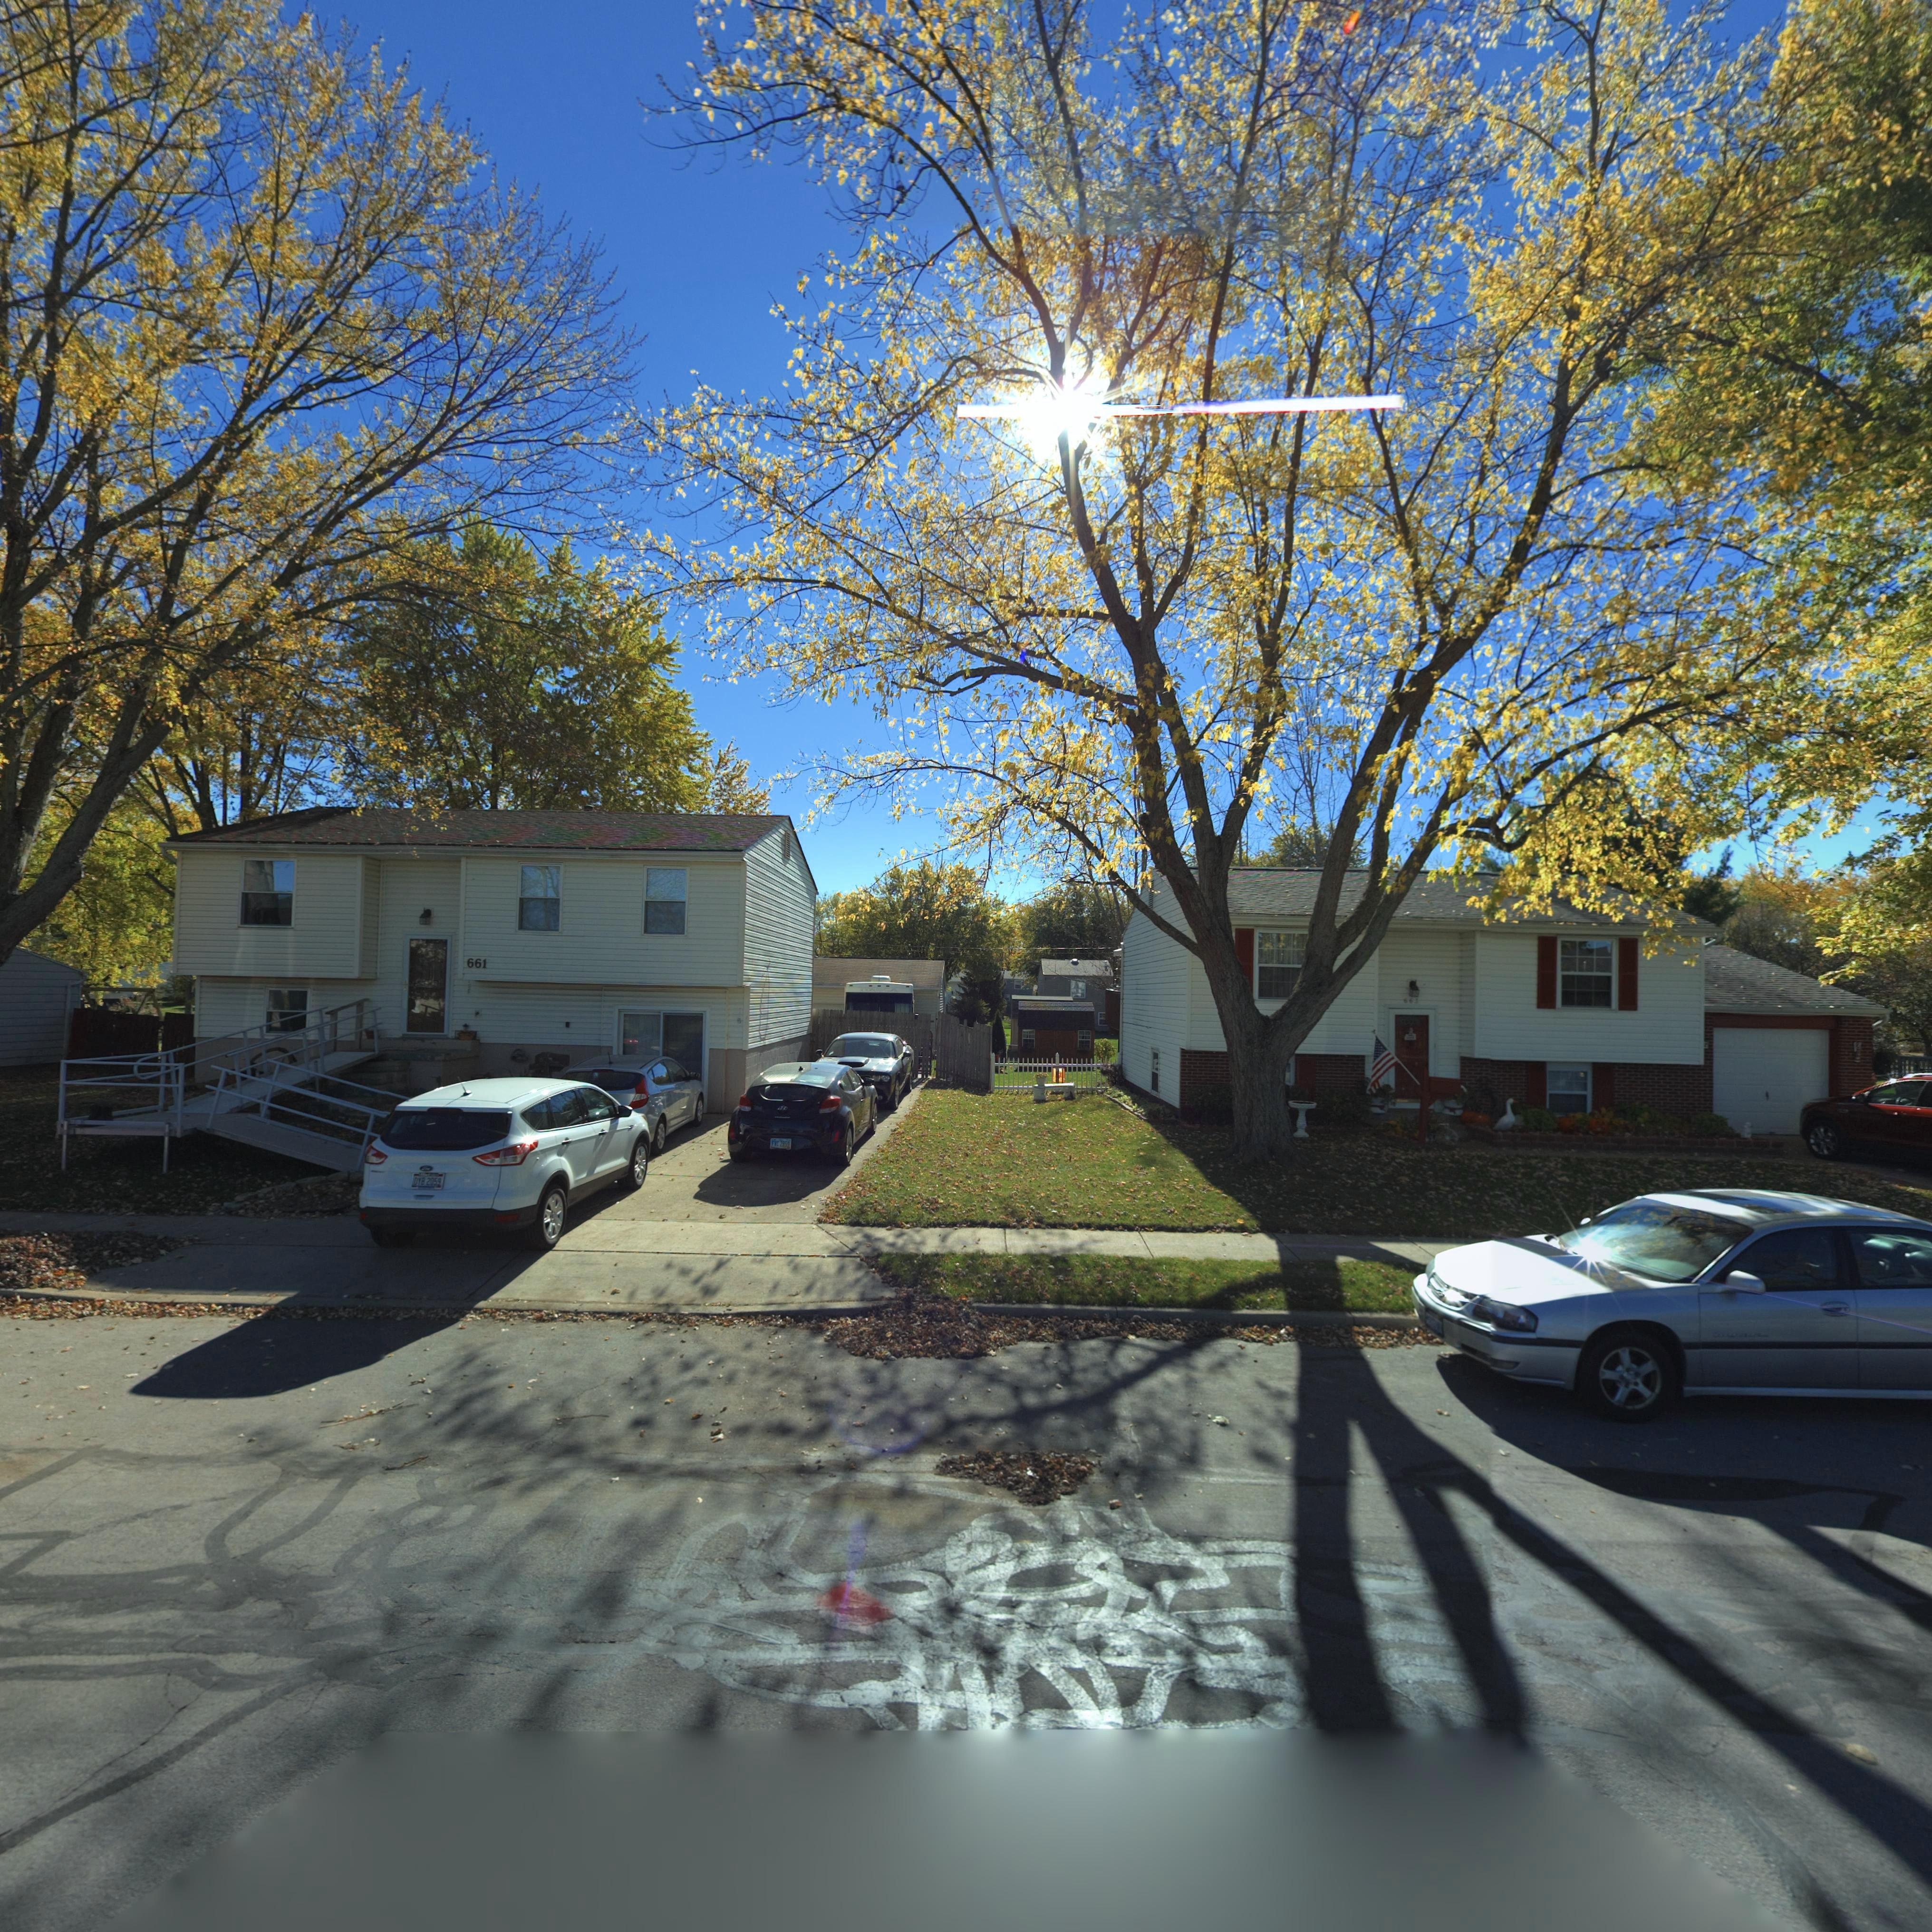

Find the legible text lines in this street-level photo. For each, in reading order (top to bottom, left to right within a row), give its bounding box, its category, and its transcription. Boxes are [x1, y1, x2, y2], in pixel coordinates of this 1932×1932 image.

[467, 957, 487, 969] StreetNumber: 661
[1402, 997, 1419, 1005] StreetNumber: 663
[412, 1176, 442, 1188] None: DYB 2059